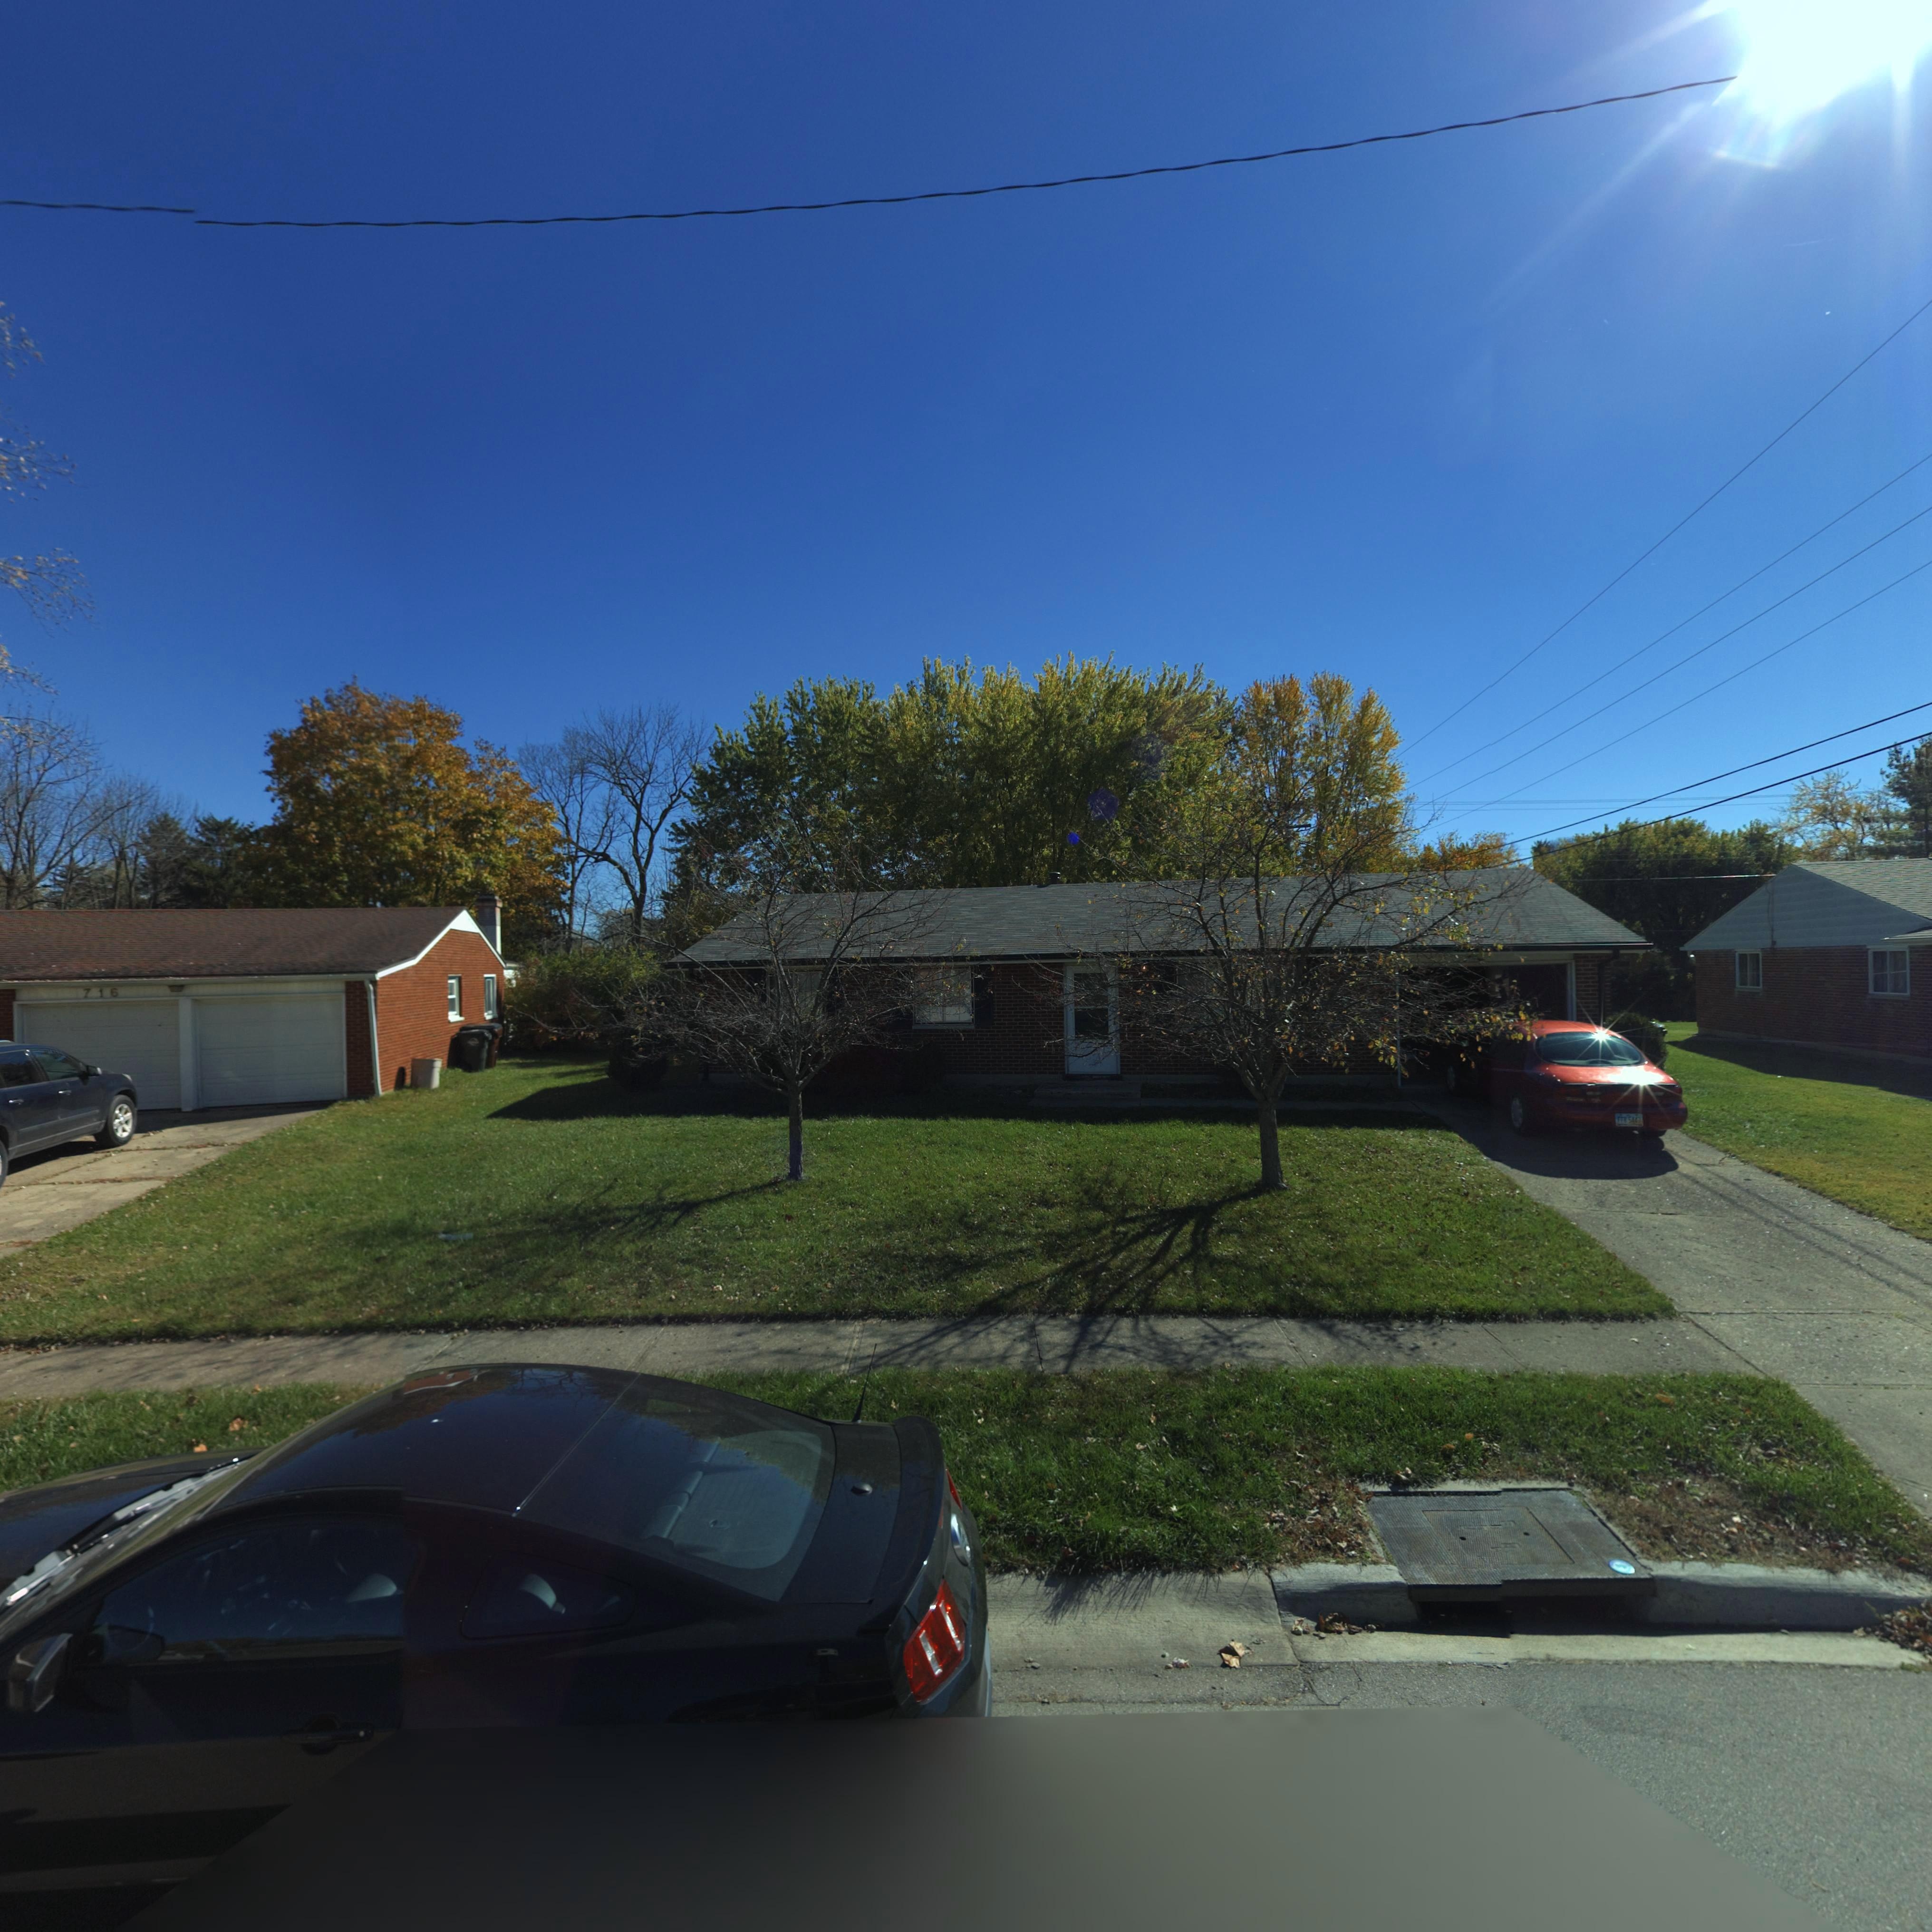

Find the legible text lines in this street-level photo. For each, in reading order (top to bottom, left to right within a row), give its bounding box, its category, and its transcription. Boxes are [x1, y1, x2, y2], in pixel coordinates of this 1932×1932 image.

[82, 987, 119, 999] StreetNumber: 716